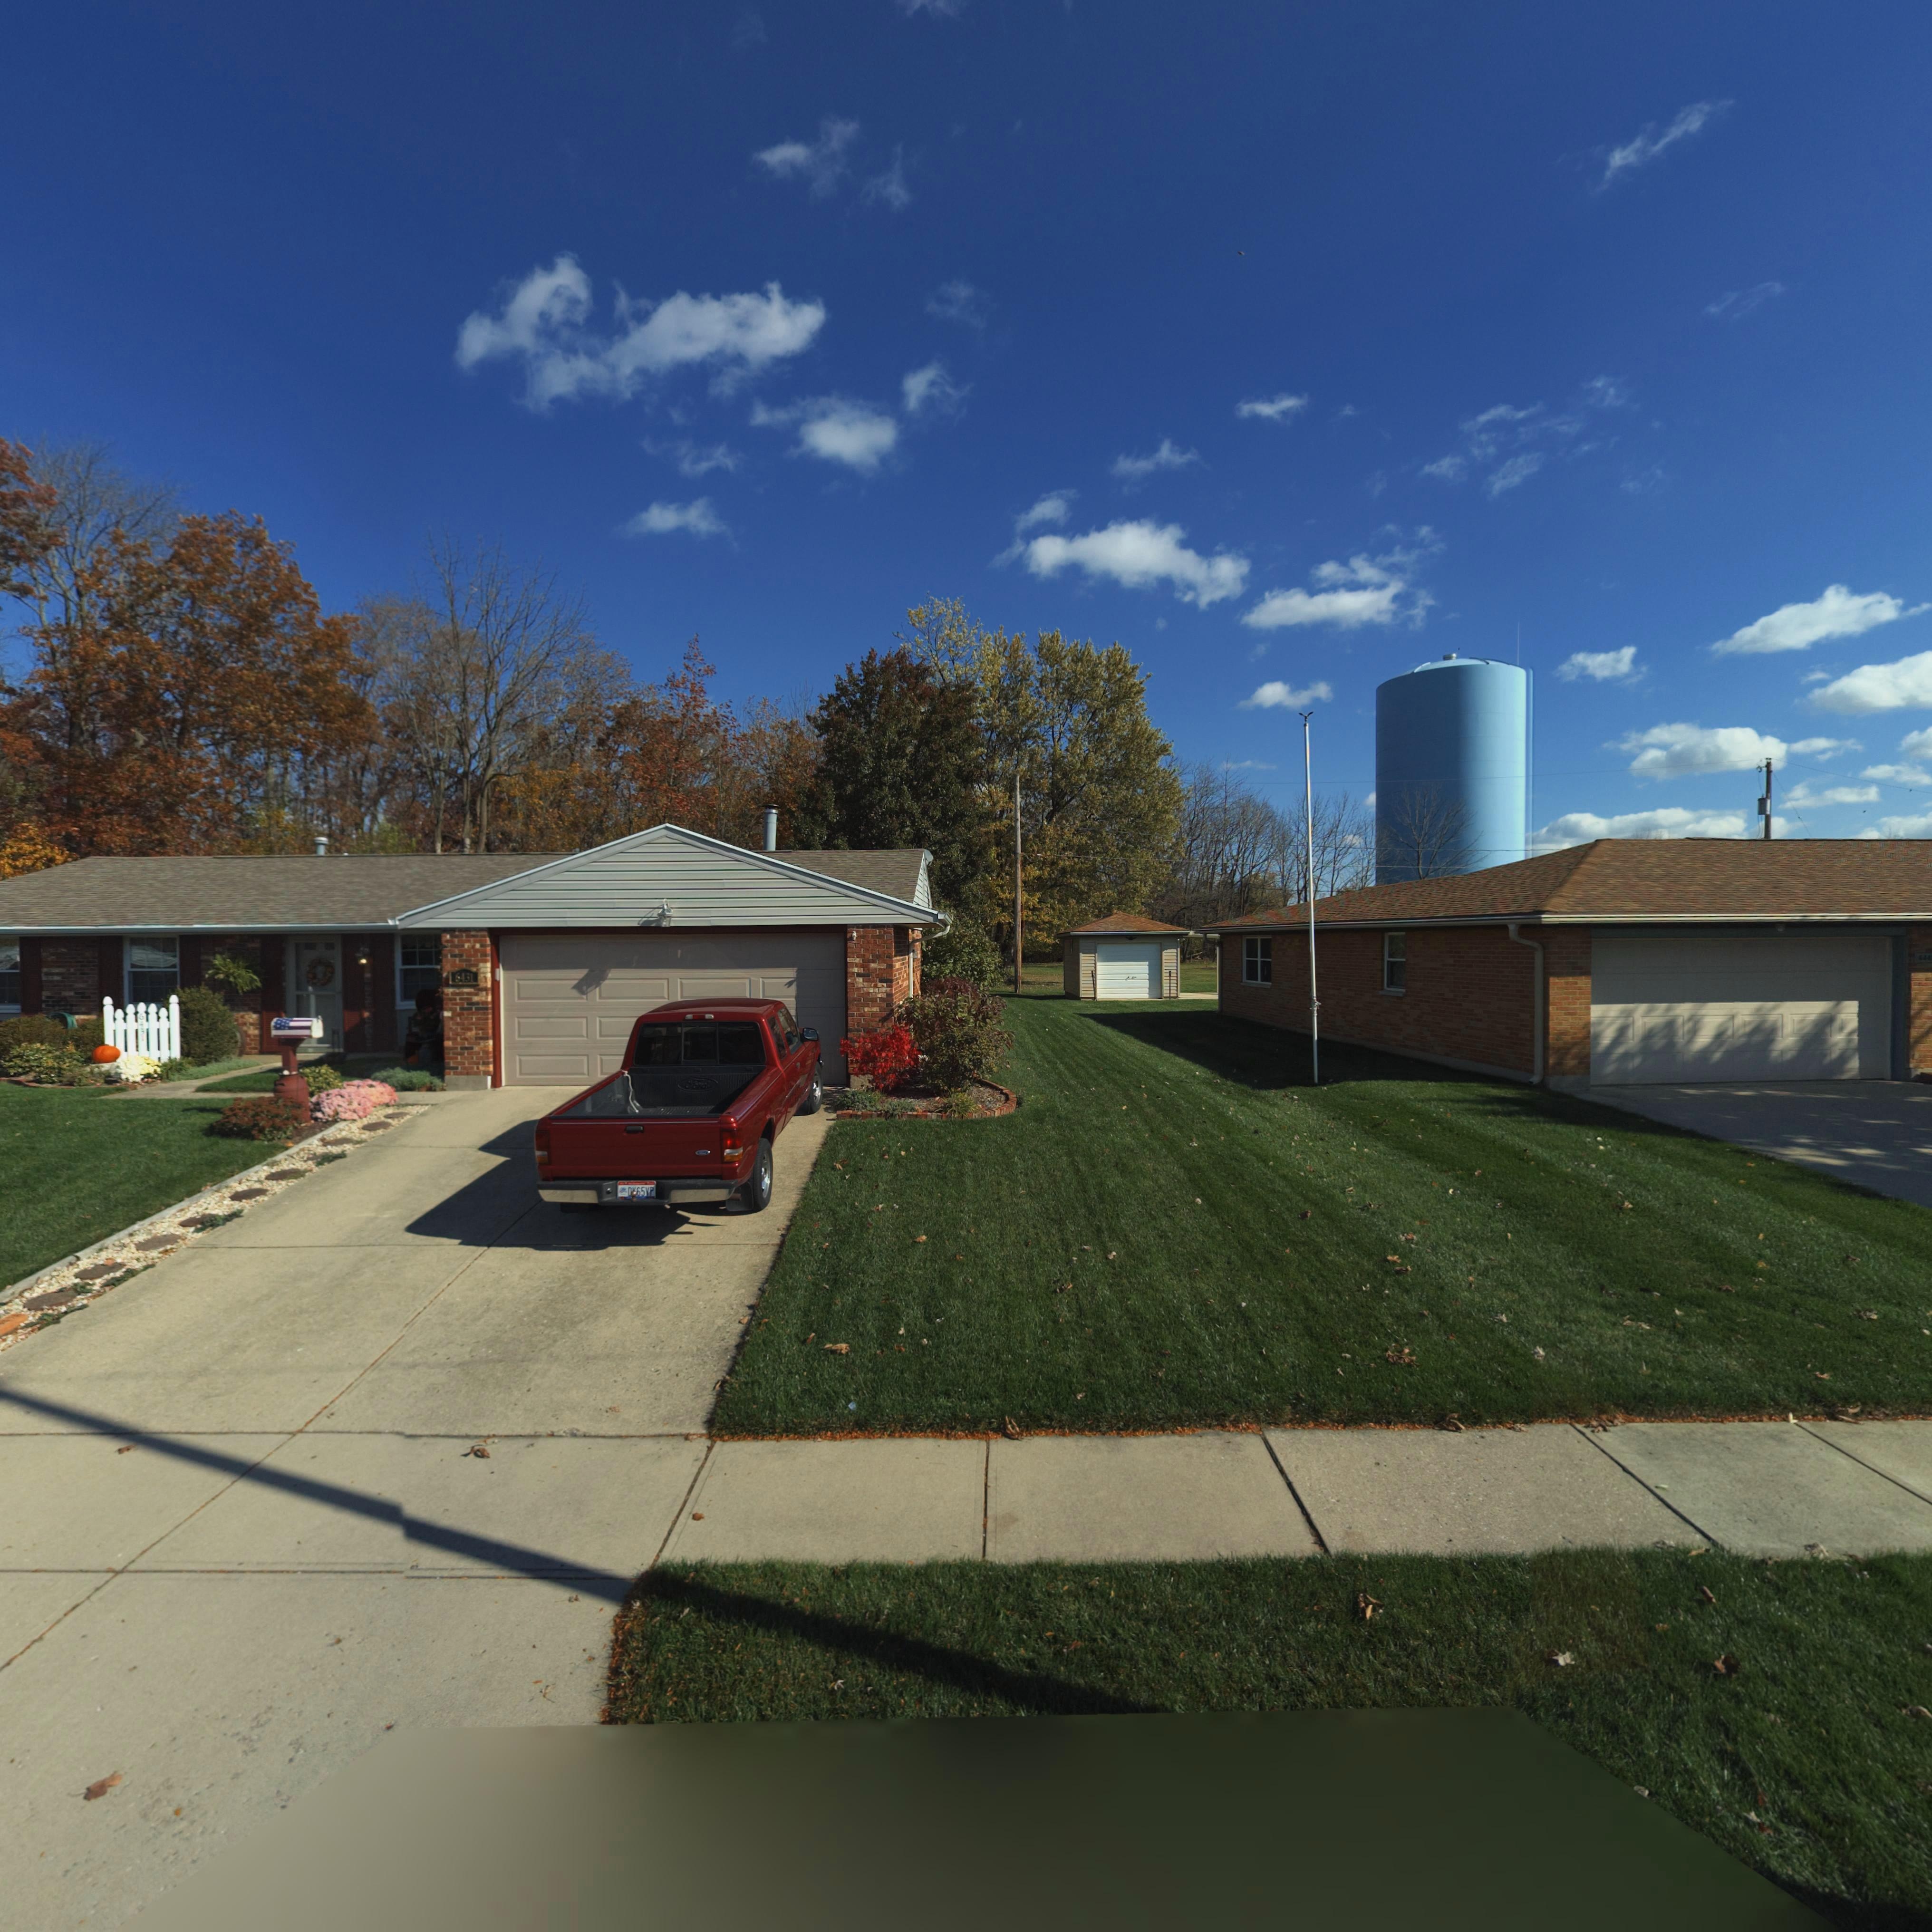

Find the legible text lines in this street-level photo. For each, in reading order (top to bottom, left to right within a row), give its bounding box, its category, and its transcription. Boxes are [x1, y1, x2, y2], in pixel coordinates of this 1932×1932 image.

[1918, 954, 1932, 961] StreetNumber: 644
[454, 972, 474, 983] StreetNumber: 6431
[138, 1013, 145, 1042] StreetNumber: 6431